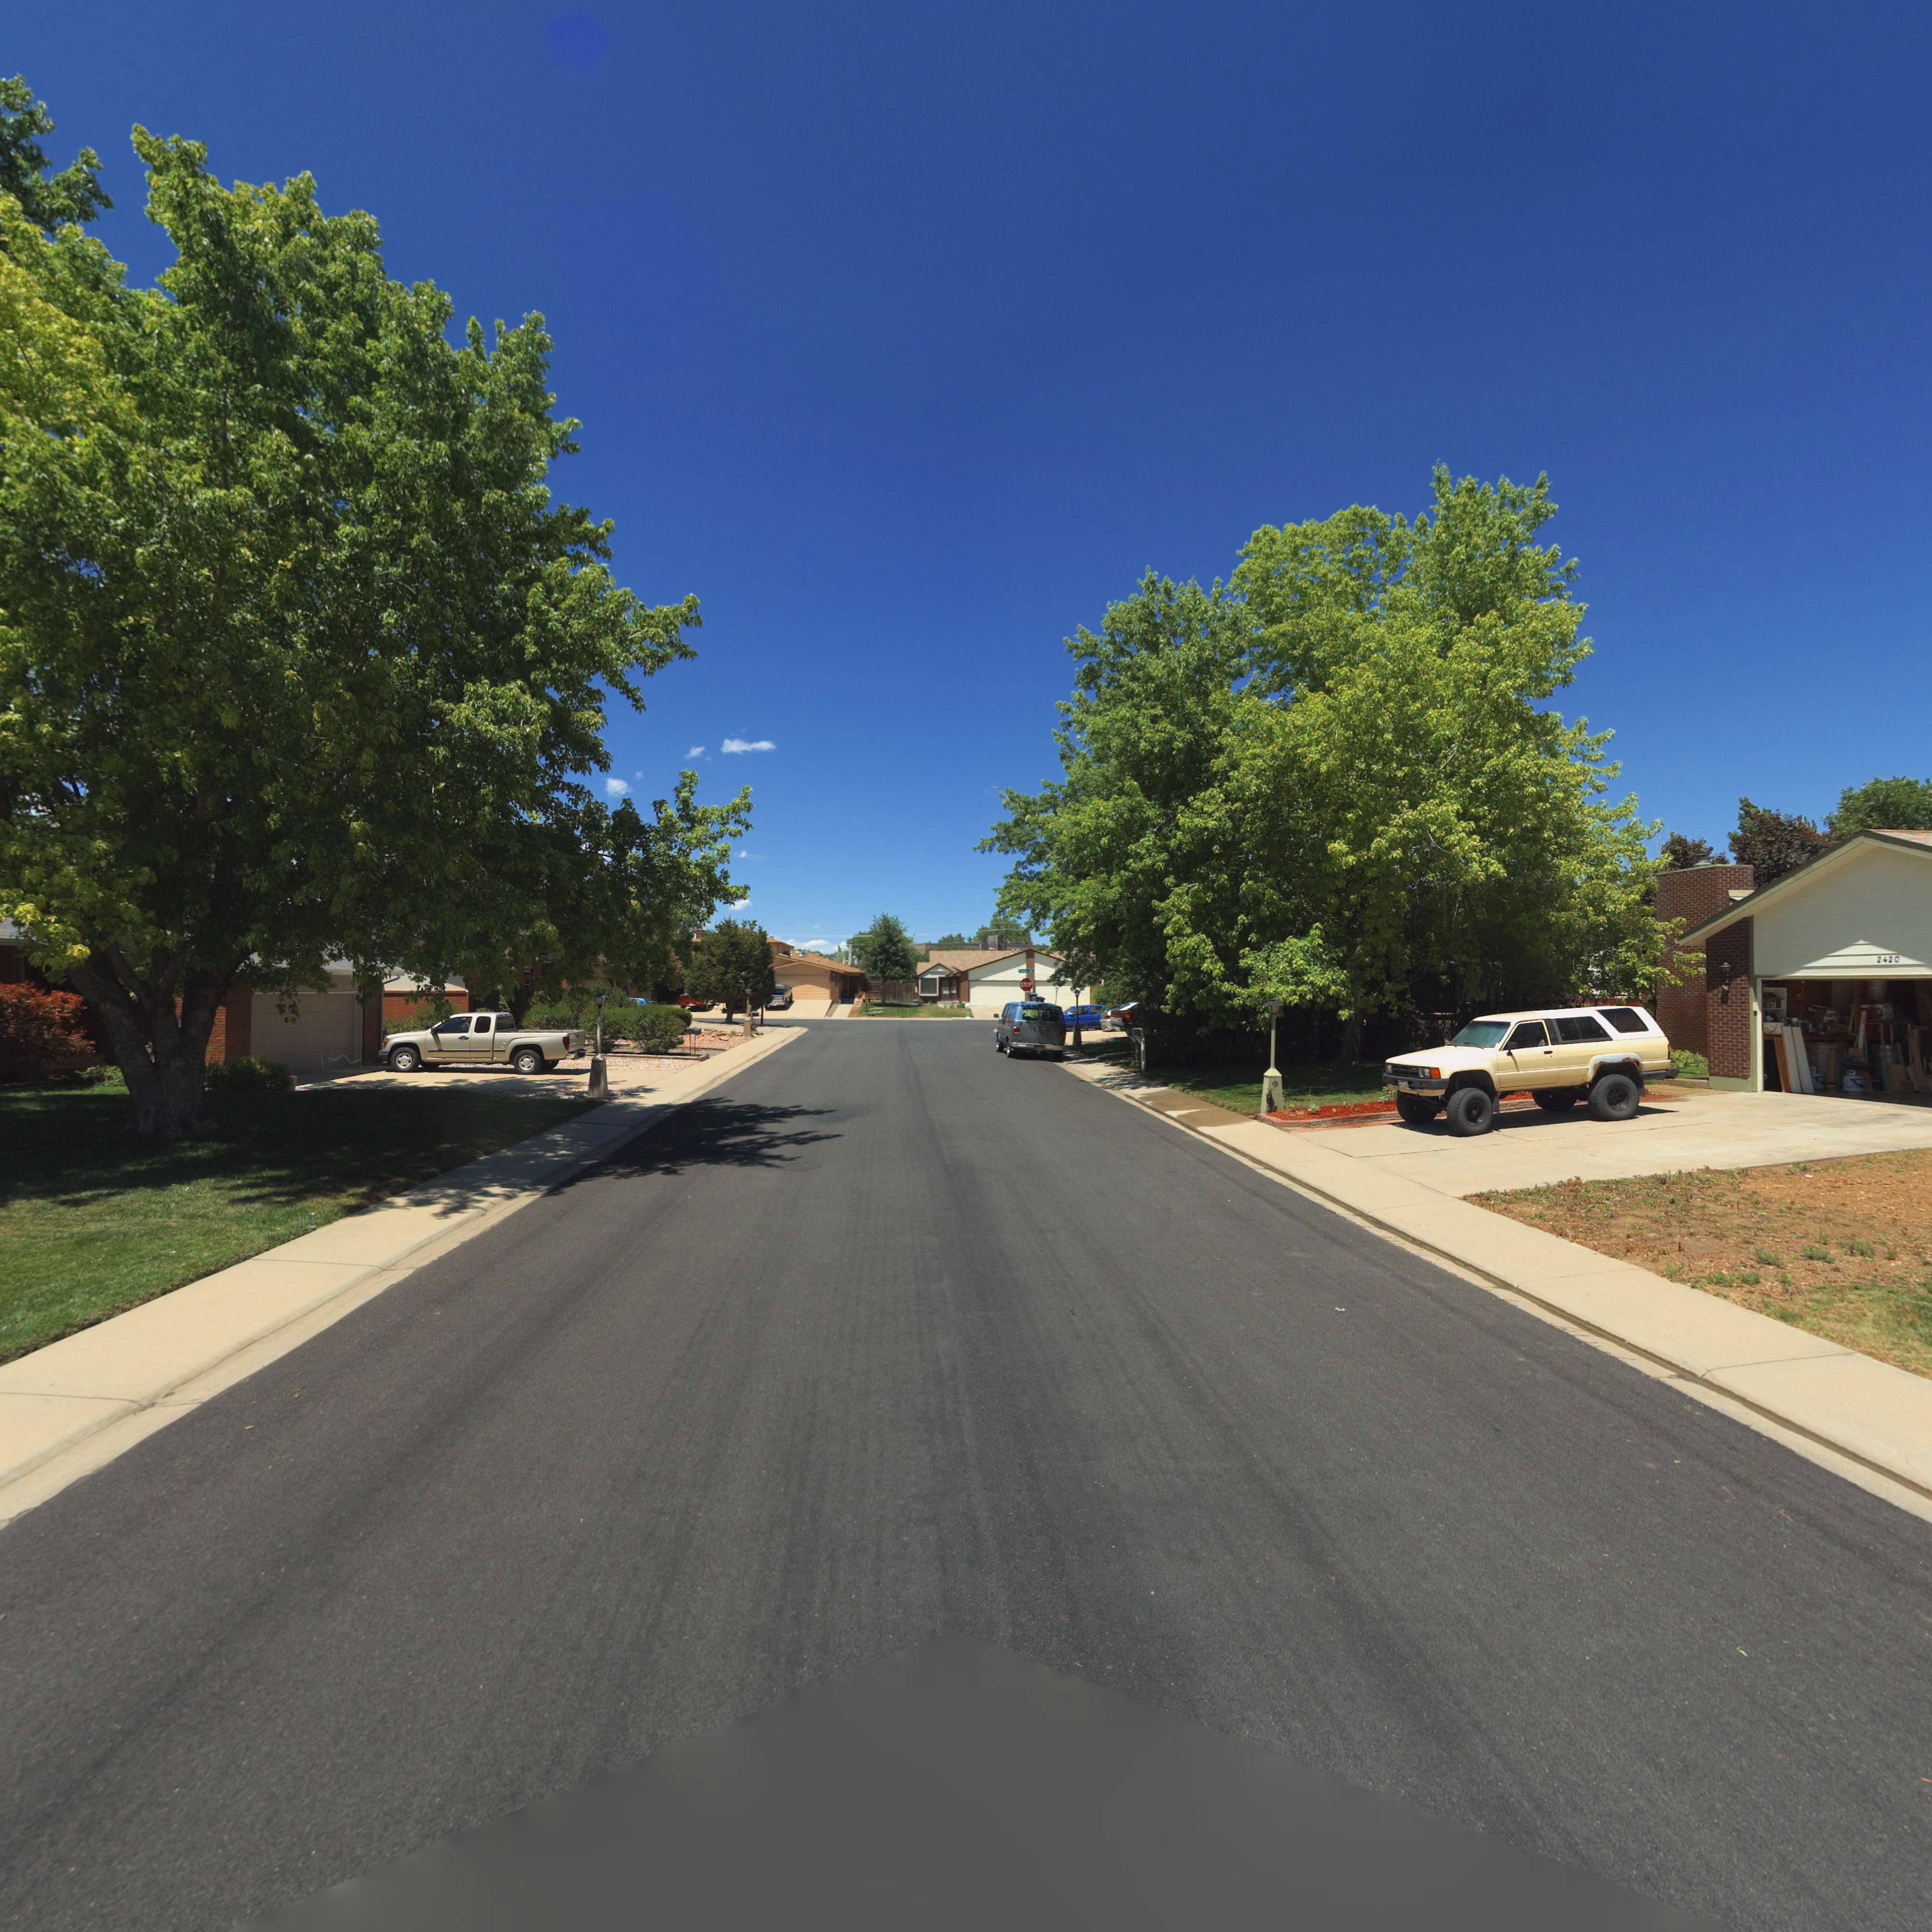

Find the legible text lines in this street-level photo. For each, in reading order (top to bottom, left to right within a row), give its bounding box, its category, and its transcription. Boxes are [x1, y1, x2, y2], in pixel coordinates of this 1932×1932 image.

[1876, 955, 1900, 963] StreetNumber: 2420